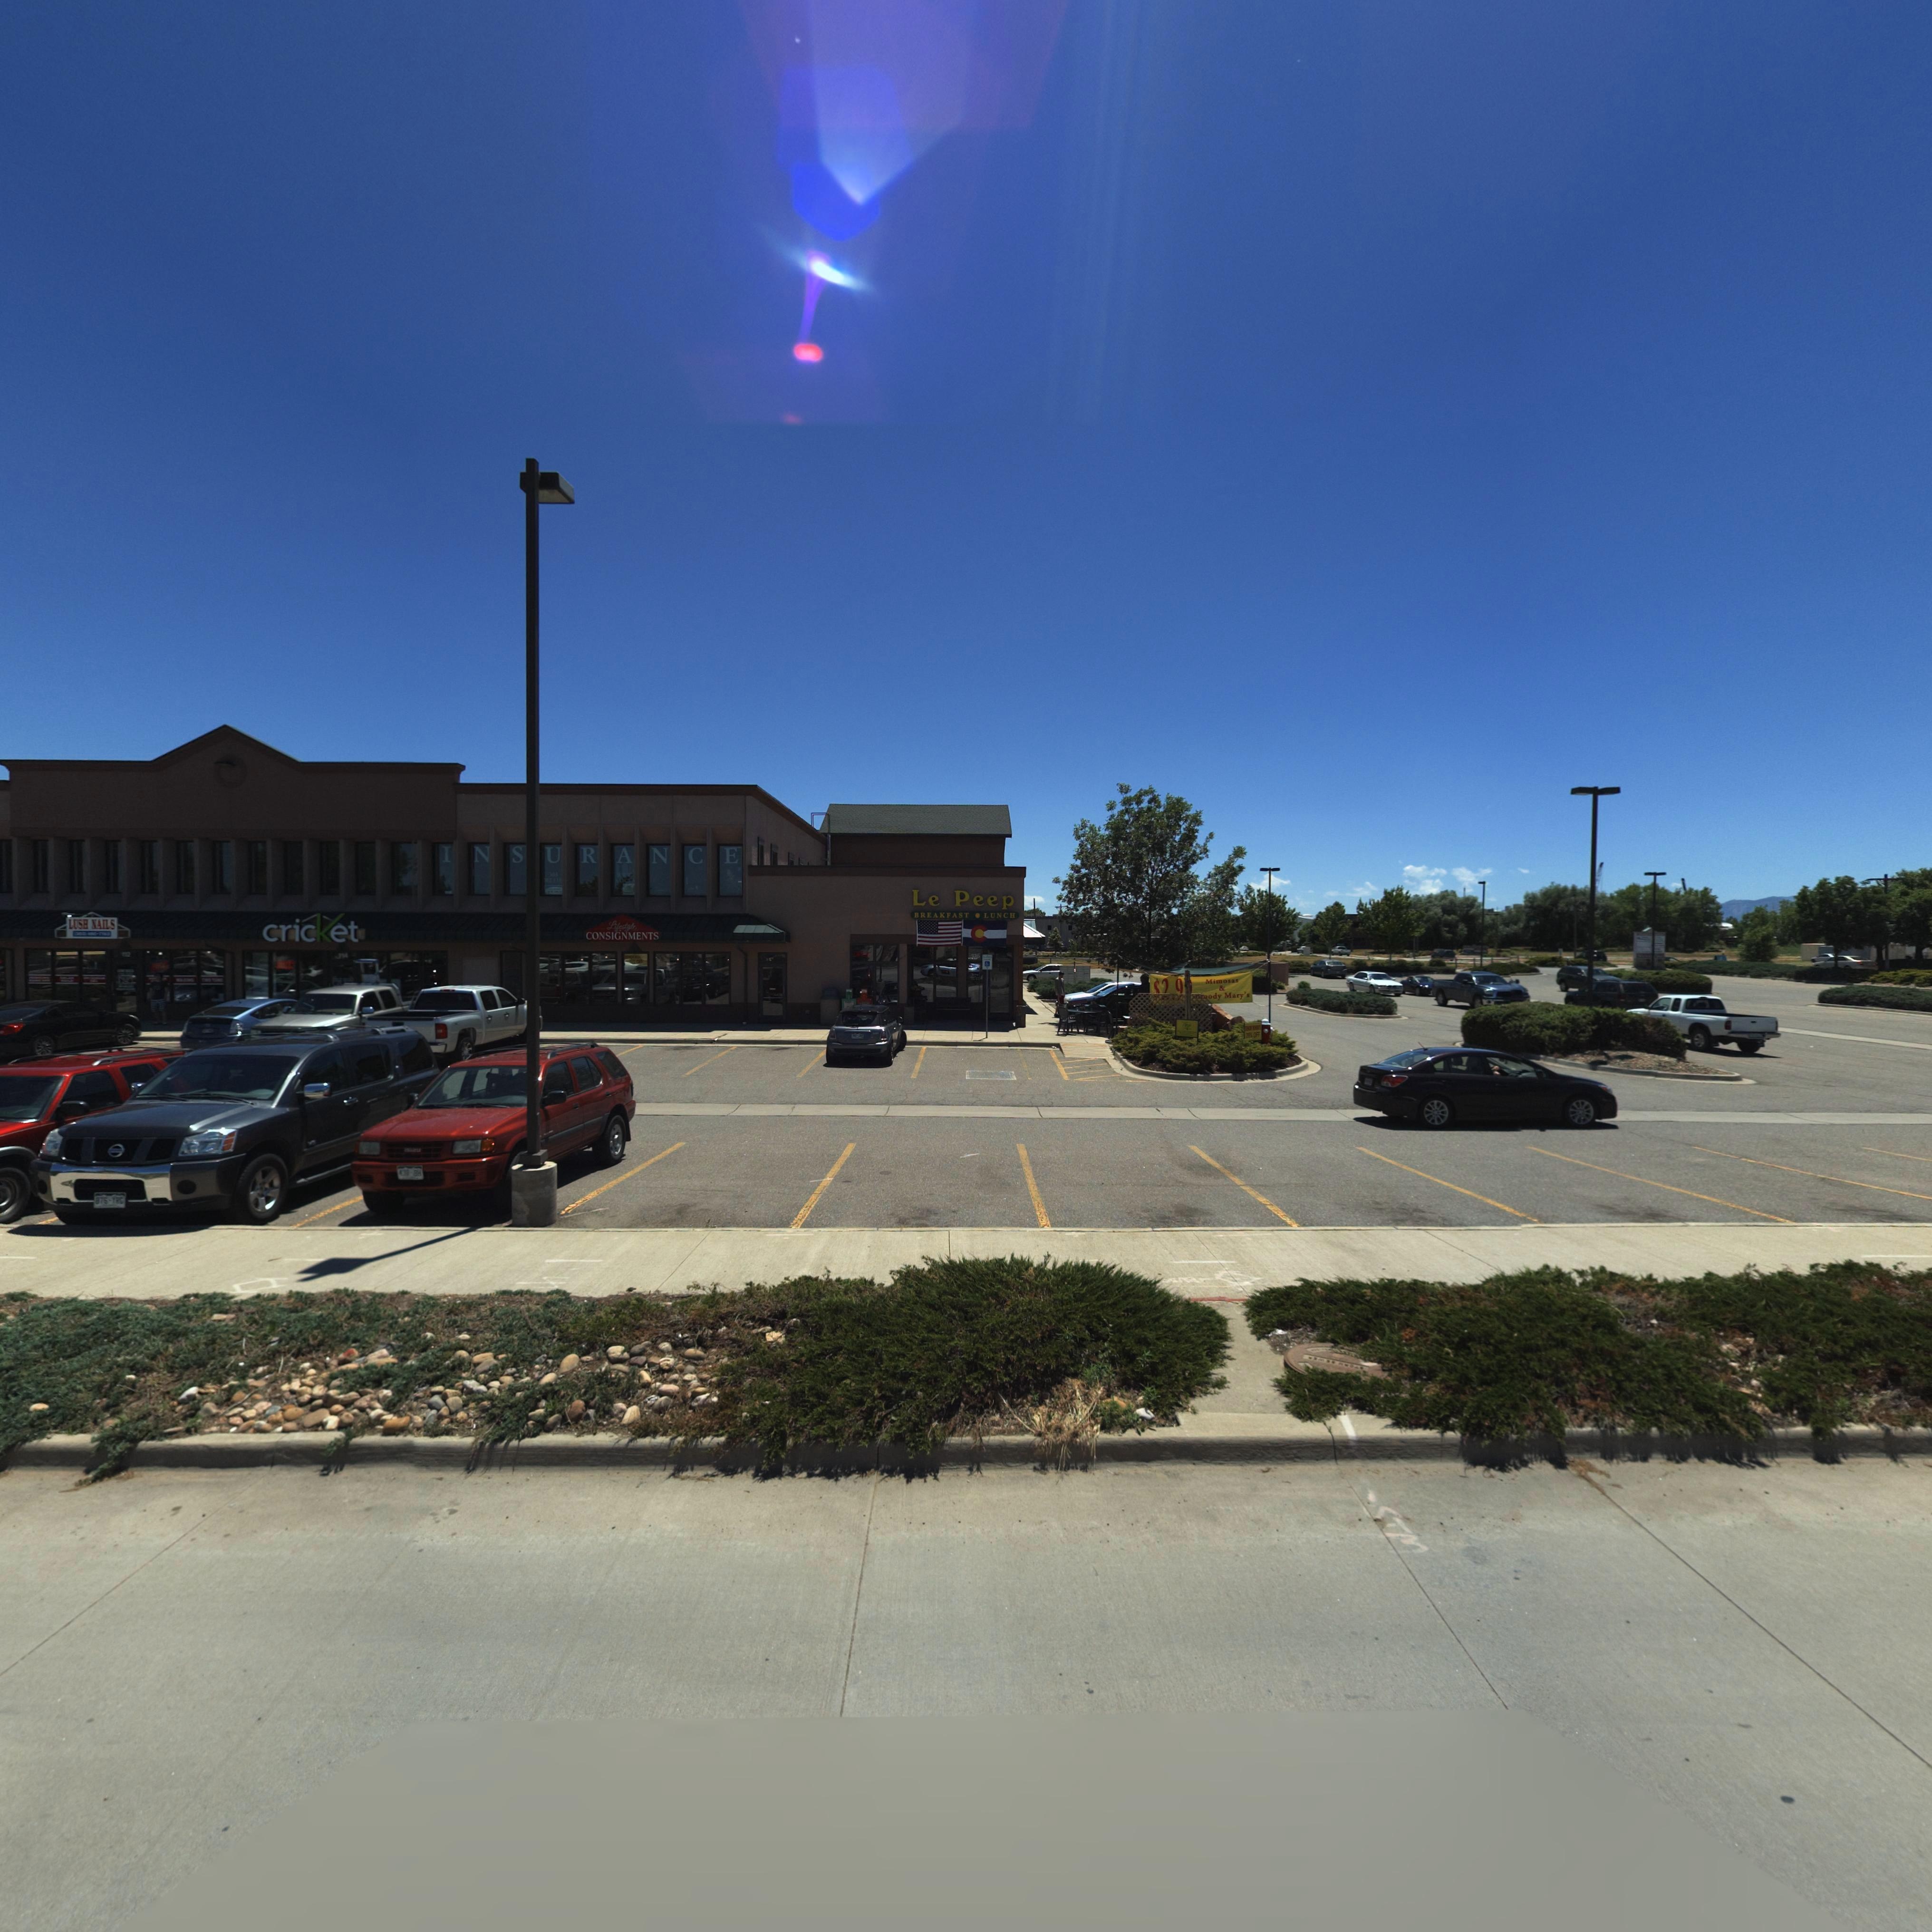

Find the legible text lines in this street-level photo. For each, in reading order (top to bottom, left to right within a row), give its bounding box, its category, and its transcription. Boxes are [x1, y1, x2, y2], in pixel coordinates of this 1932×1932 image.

[911, 889, 1014, 911] BusinessName: Le Peep
[68, 918, 115, 930] BusinessName: LUSH NAILS
[261, 918, 359, 943] BusinessName: cricktet
[605, 919, 638, 931] BusinessName: Lifestyle
[585, 931, 659, 940] BusinessName: CONSIGNMENTS
[338, 953, 348, 958] StreetNumber: 114
[971, 953, 980, 958] StreetNumber: 116